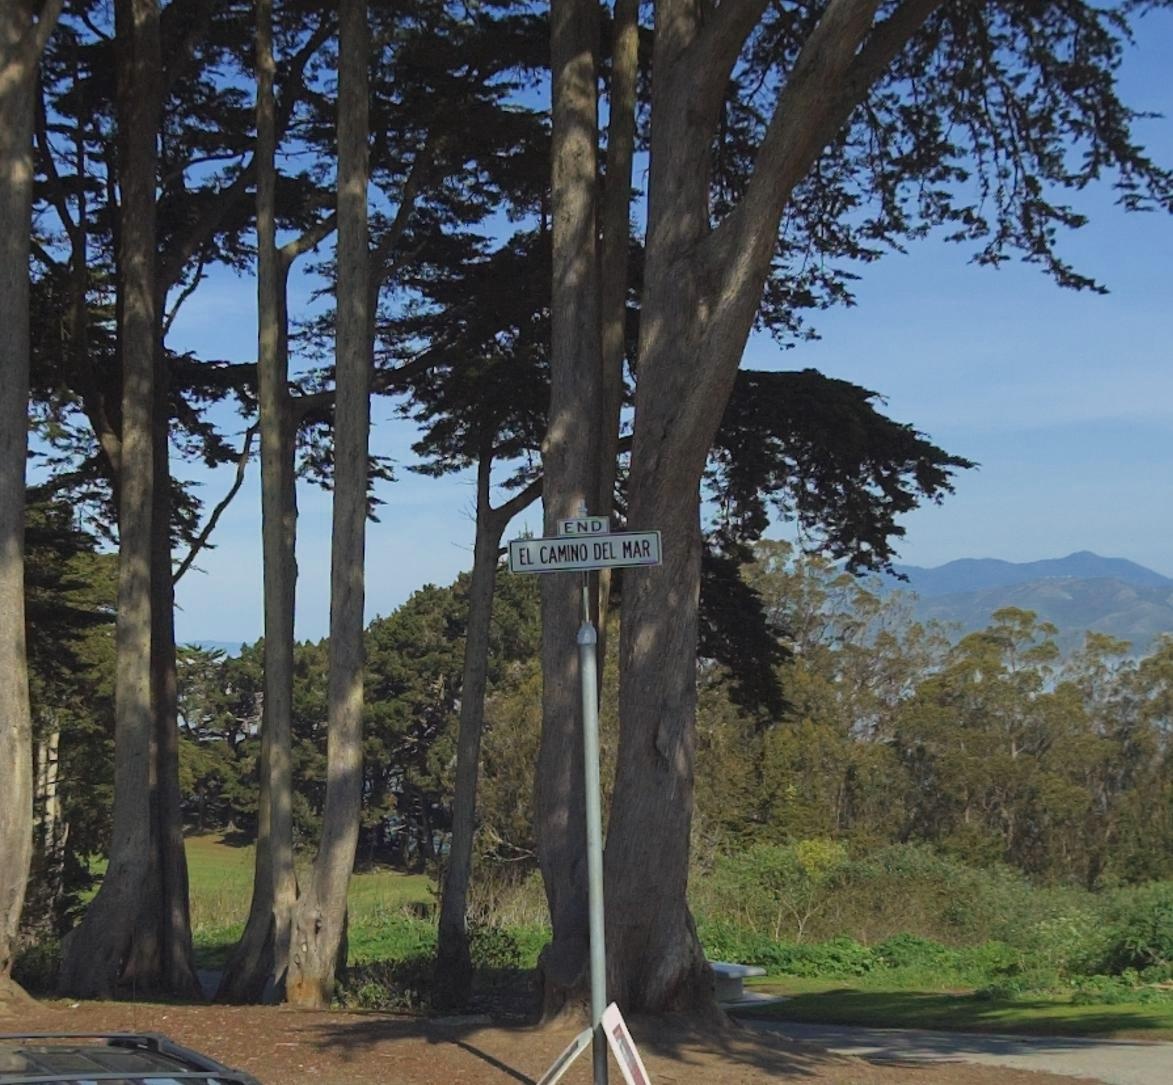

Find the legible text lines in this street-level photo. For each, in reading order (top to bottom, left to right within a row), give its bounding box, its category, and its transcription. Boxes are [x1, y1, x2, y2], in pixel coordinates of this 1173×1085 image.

[562, 519, 606, 534] StreetNumberRange: END
[518, 537, 653, 567] StreetName: EL CAMINO DEL MAR